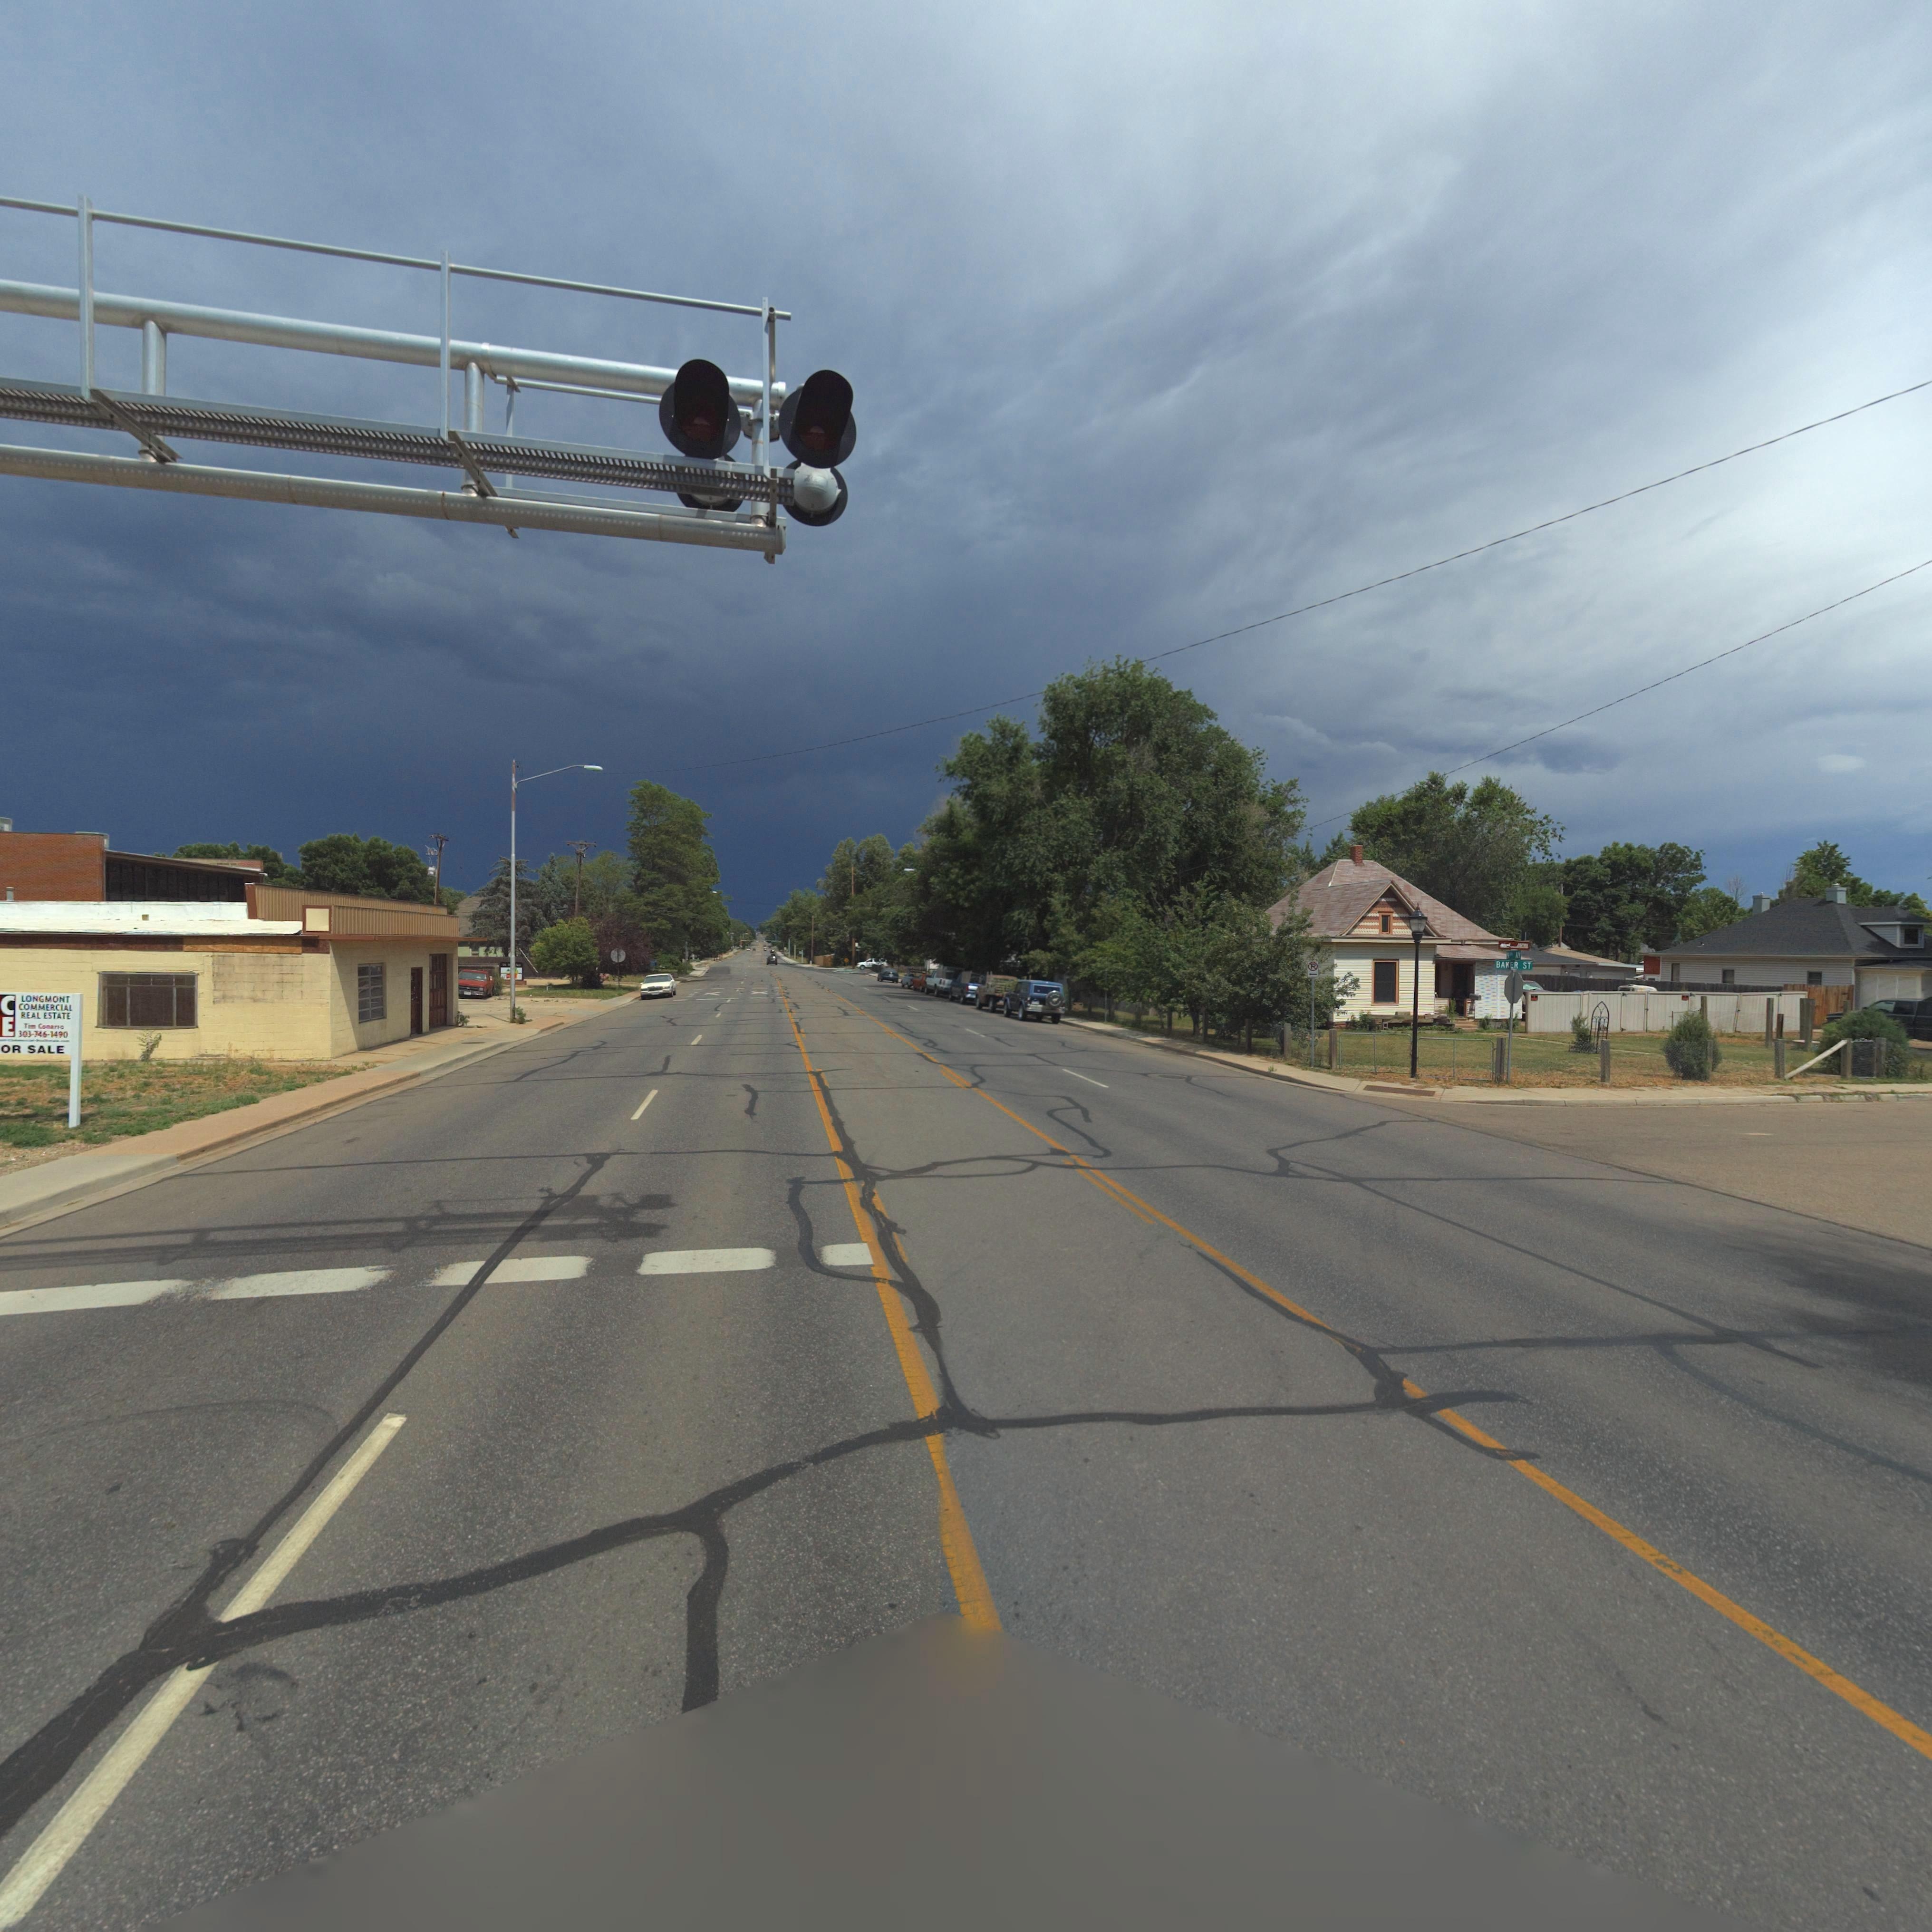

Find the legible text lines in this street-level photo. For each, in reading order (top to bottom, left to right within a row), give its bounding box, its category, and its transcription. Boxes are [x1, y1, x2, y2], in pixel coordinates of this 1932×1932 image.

[1507, 951, 1520, 958] StreetName: 9** AV
[1496, 961, 1531, 969] StreetName: BAKER ST